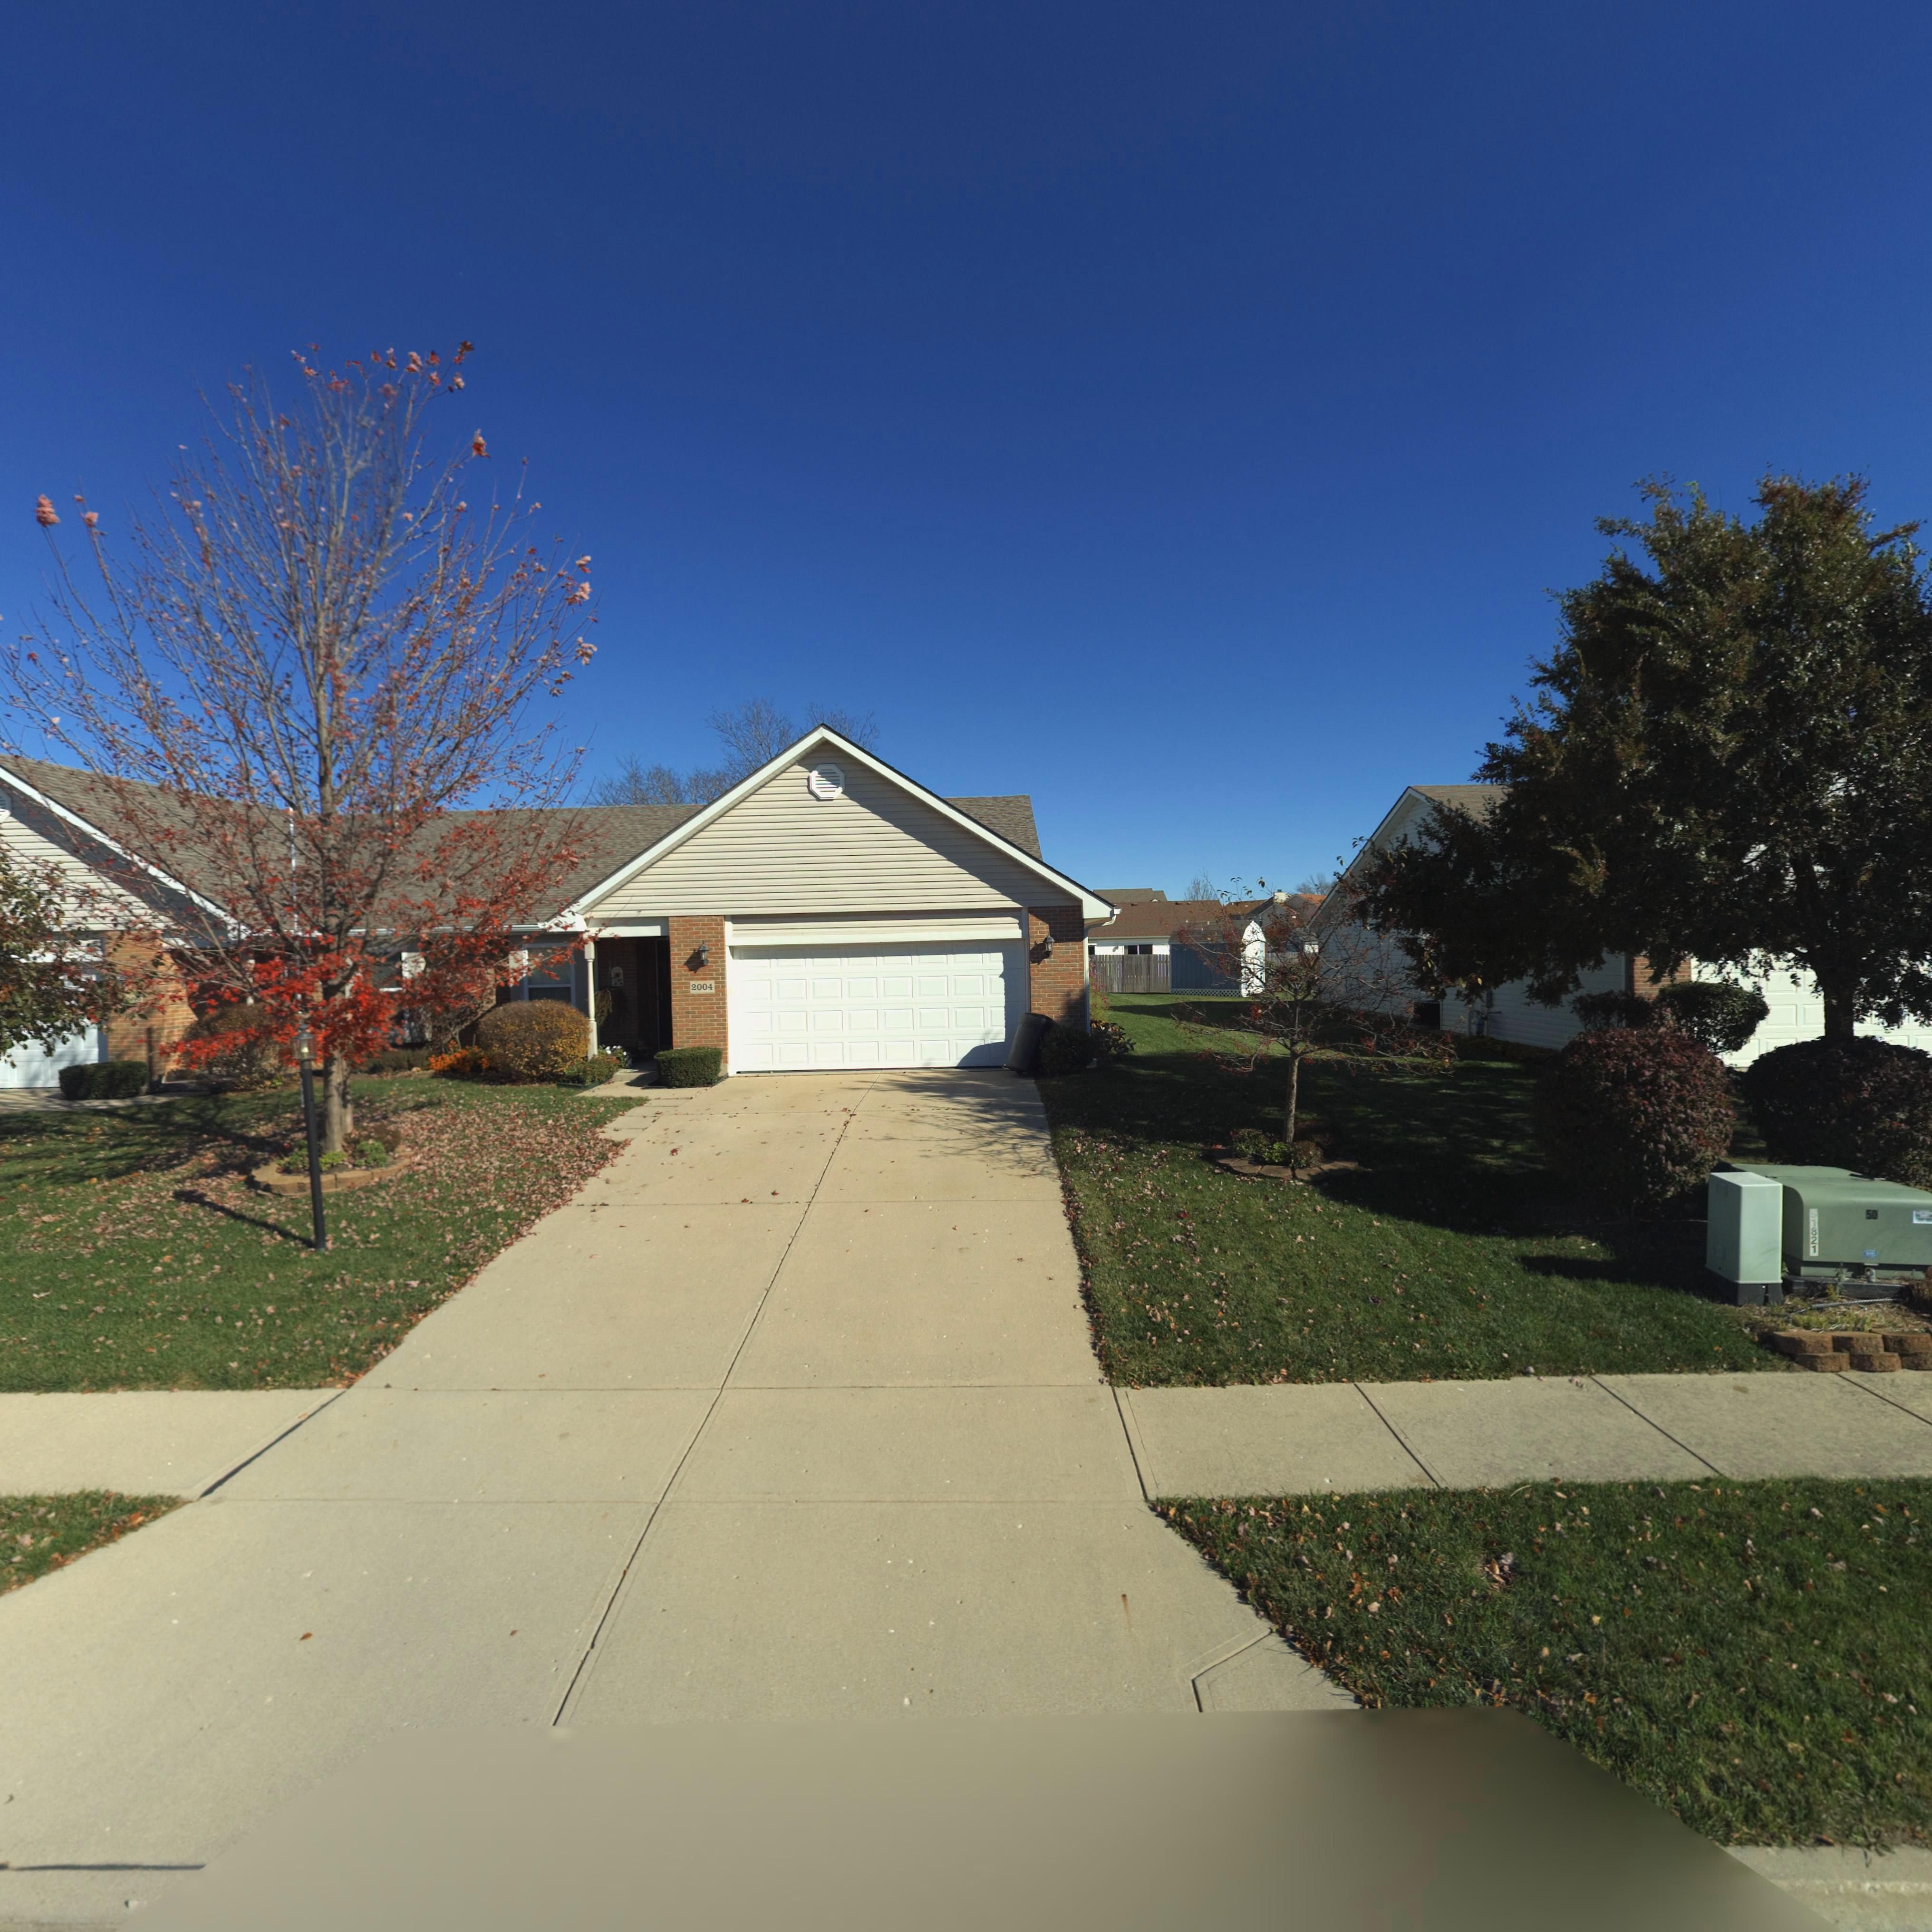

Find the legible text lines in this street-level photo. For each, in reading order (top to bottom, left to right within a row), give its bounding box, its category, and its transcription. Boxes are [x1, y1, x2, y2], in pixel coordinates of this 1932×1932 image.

[690, 982, 715, 992] StreetNumber: 2004